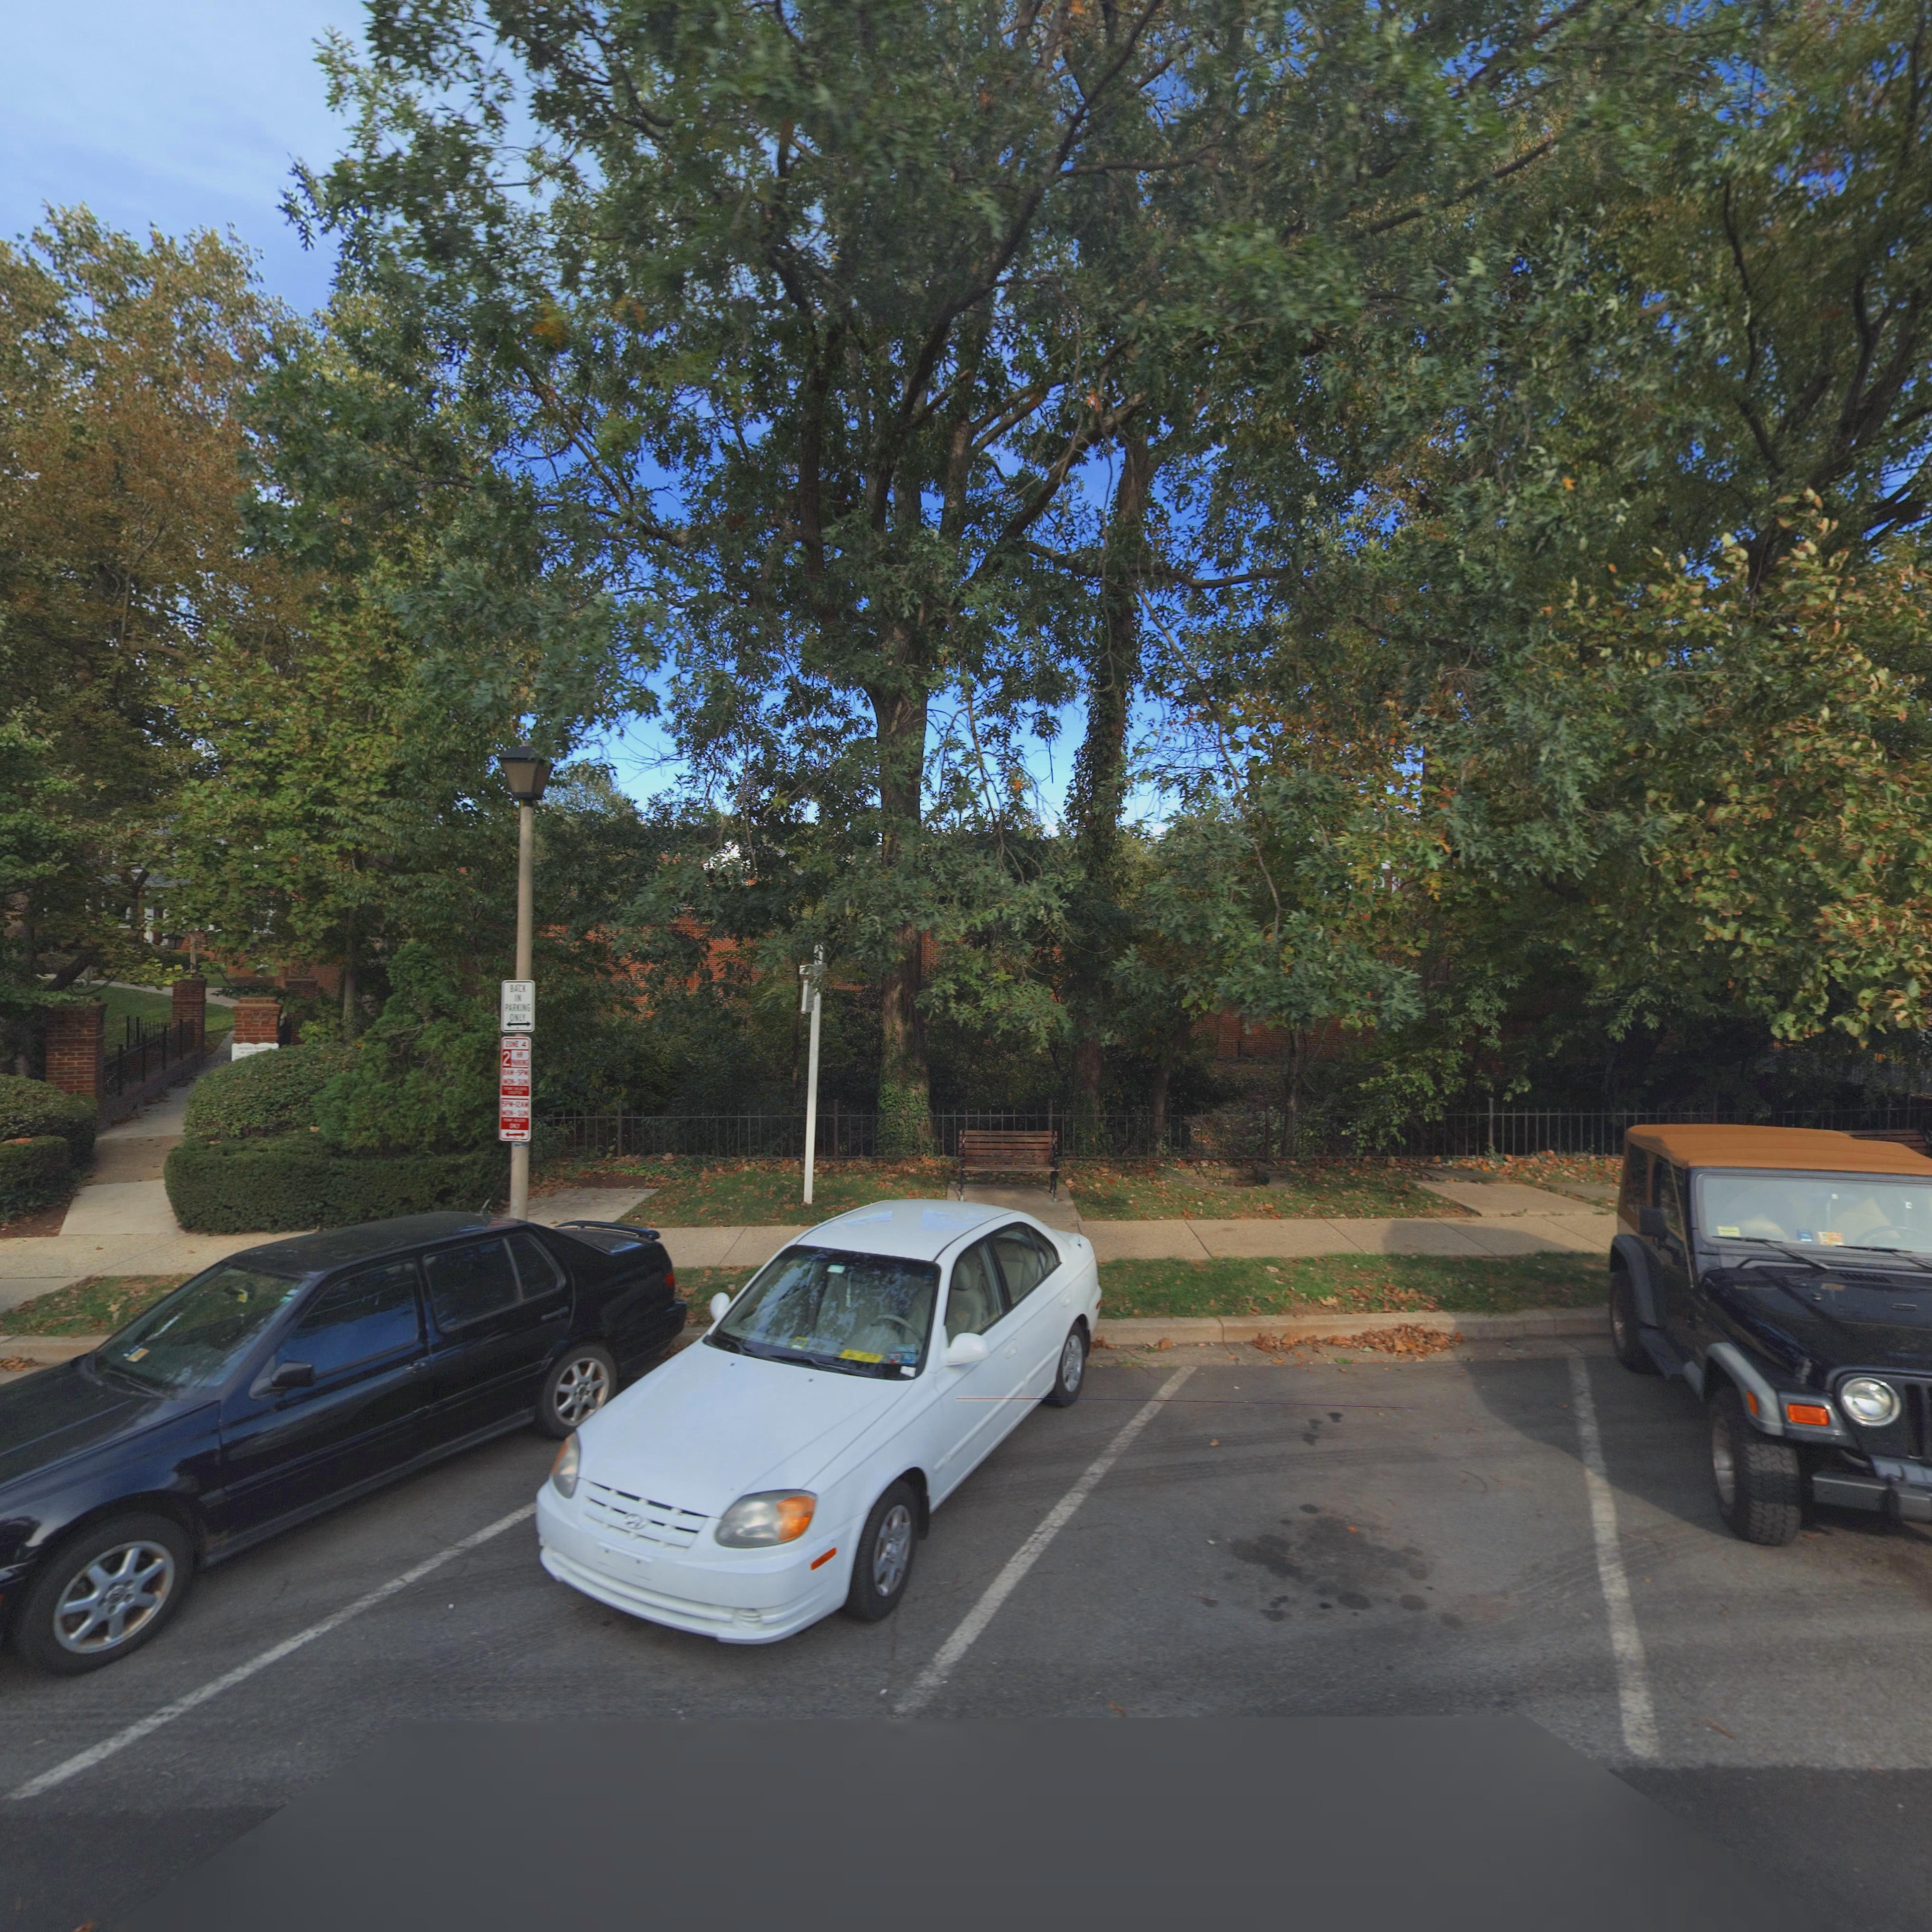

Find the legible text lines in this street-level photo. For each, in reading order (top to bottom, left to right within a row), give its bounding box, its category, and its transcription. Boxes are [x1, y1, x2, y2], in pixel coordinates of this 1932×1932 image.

[509, 984, 526, 993] None: BACK
[514, 994, 522, 1002] None: IN
[504, 1004, 531, 1012] None: PARKING
[509, 1013, 527, 1022] None: ONLY
[505, 1041, 526, 1047] None: ZONE 4
[502, 1050, 511, 1066] None: 2
[502, 1069, 529, 1076] None: 8AM-5PM
[502, 1078, 529, 1085] None: MON-SUN
[502, 1100, 529, 1108] None: 5PM-12AM
[500, 1109, 529, 1117] None: MON-SUN